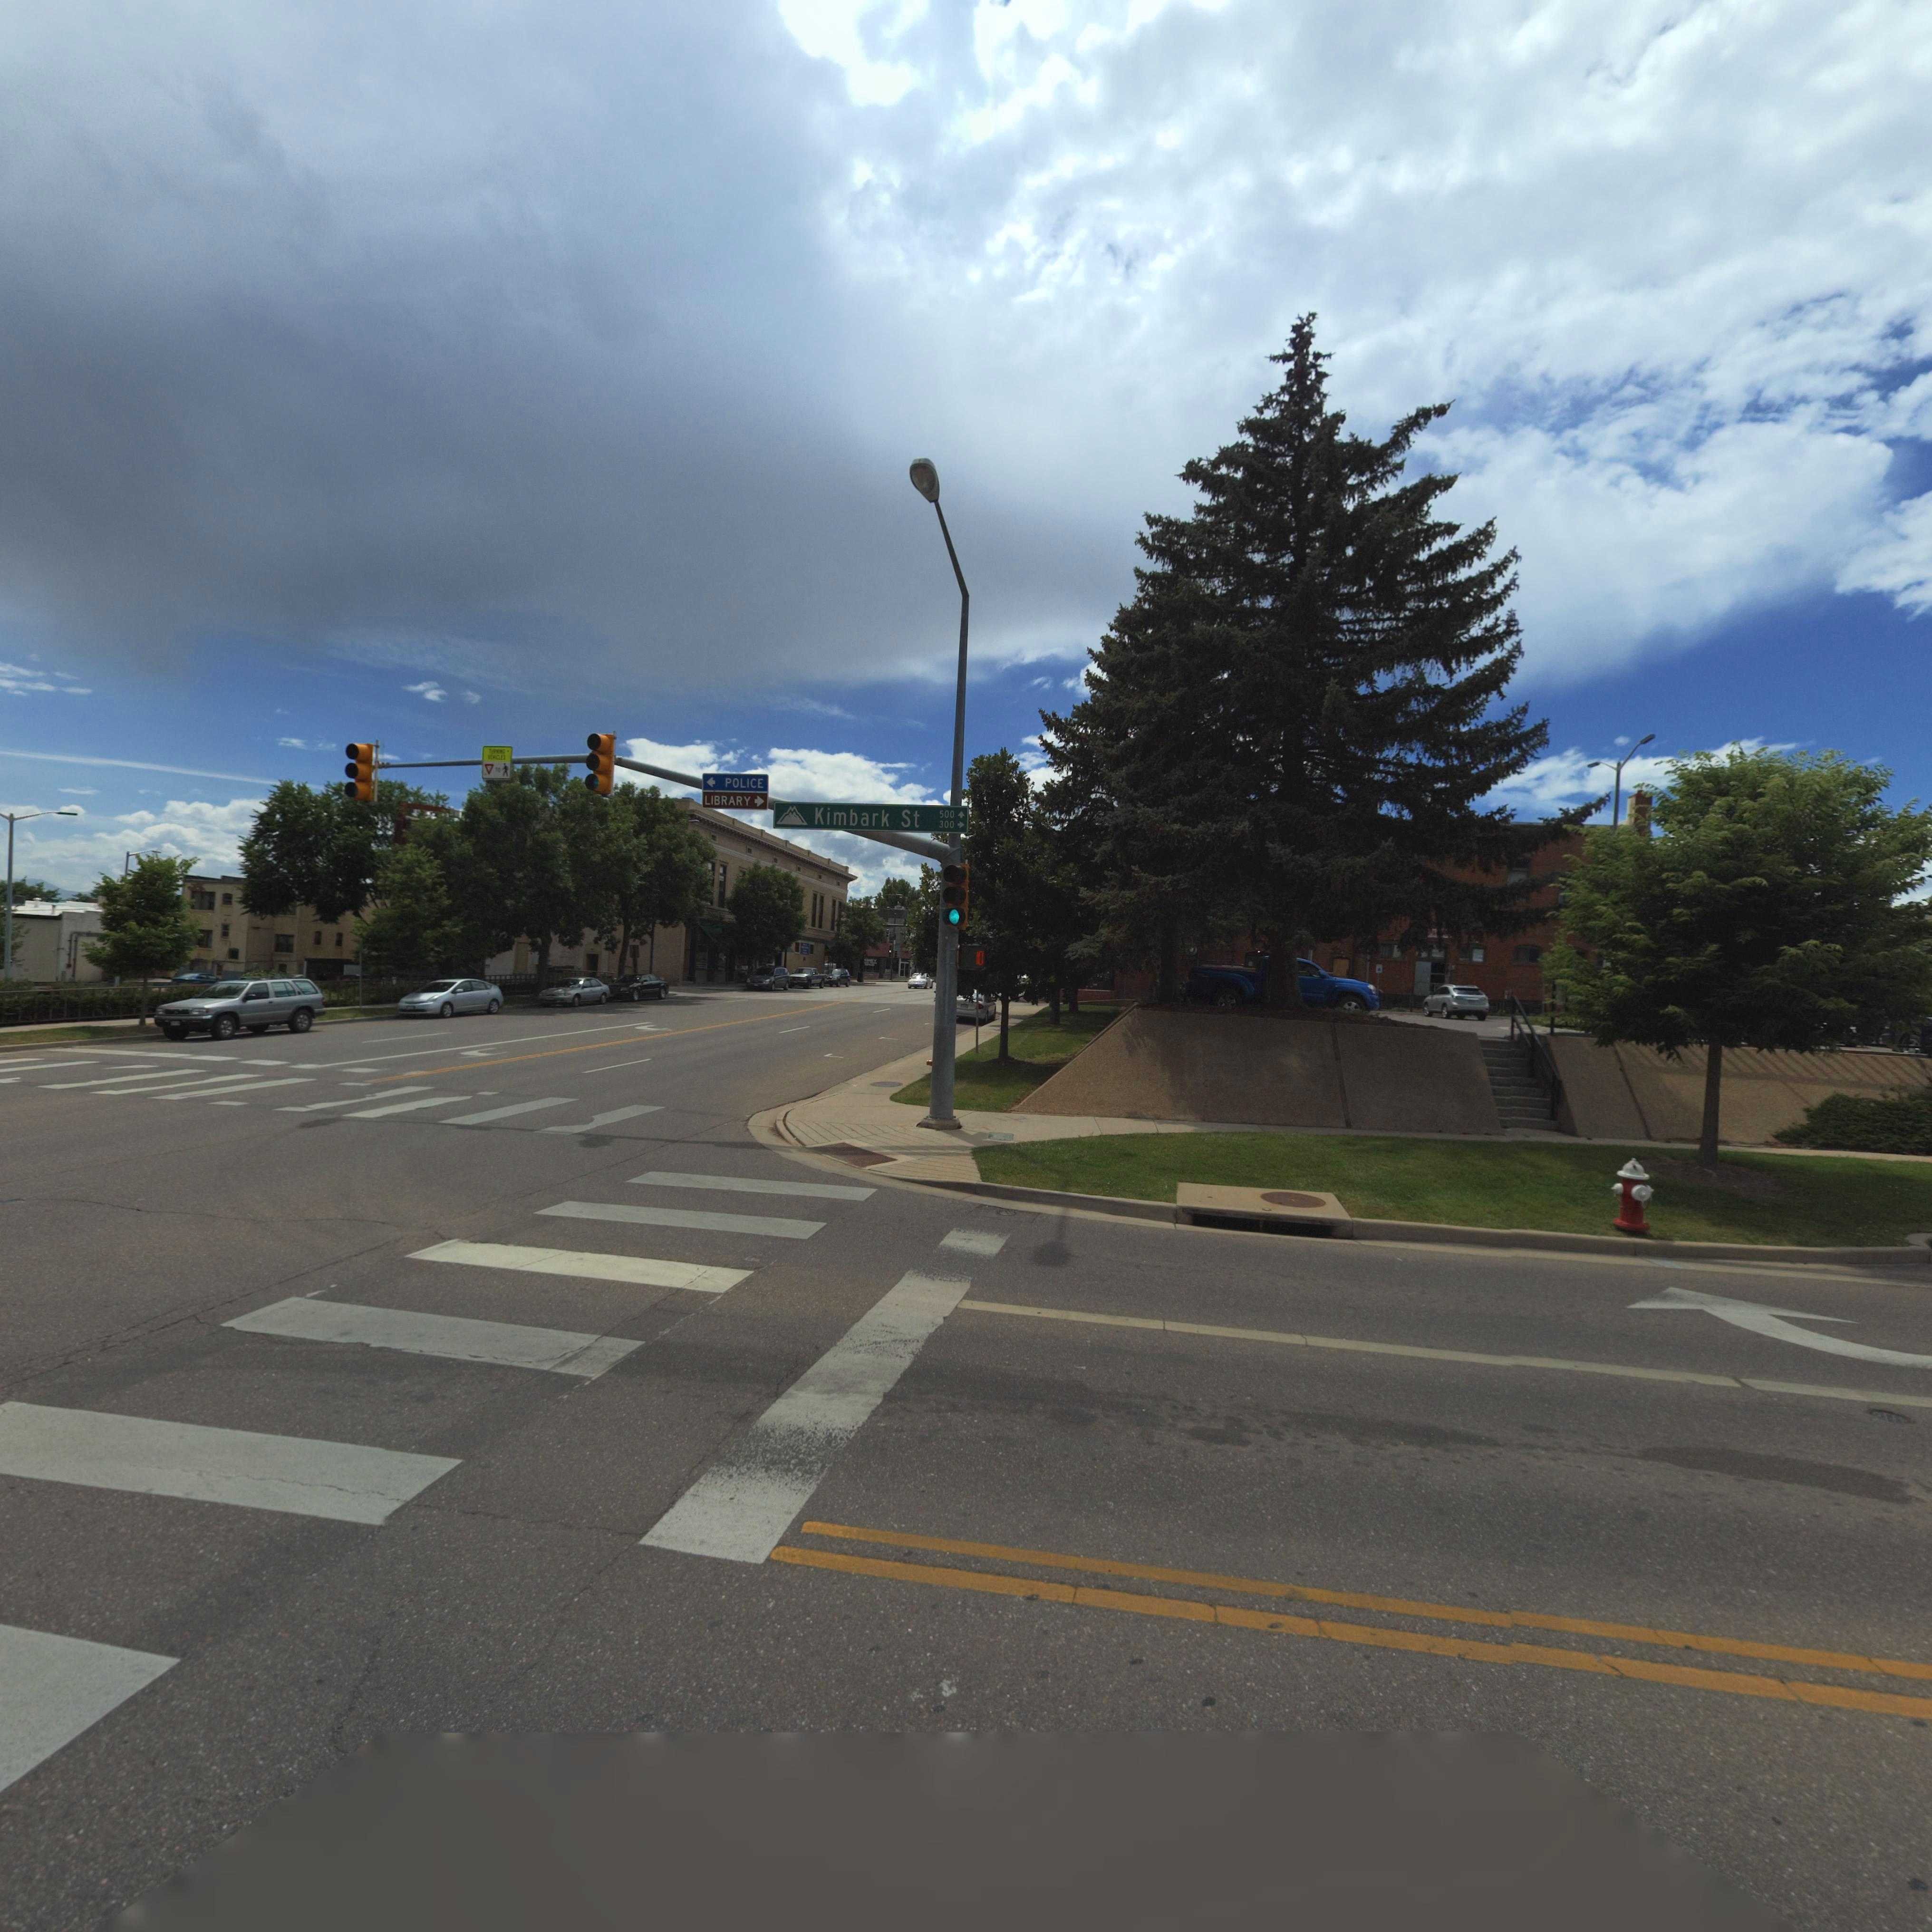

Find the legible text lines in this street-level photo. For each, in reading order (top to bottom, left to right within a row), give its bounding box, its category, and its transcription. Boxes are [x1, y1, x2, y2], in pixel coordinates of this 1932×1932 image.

[814, 807, 920, 828] StreetName: Kimbark St
[939, 810, 954, 818] StreetNumberRange: 500
[939, 820, 964, 828] StreetNumberRange: 300 ->